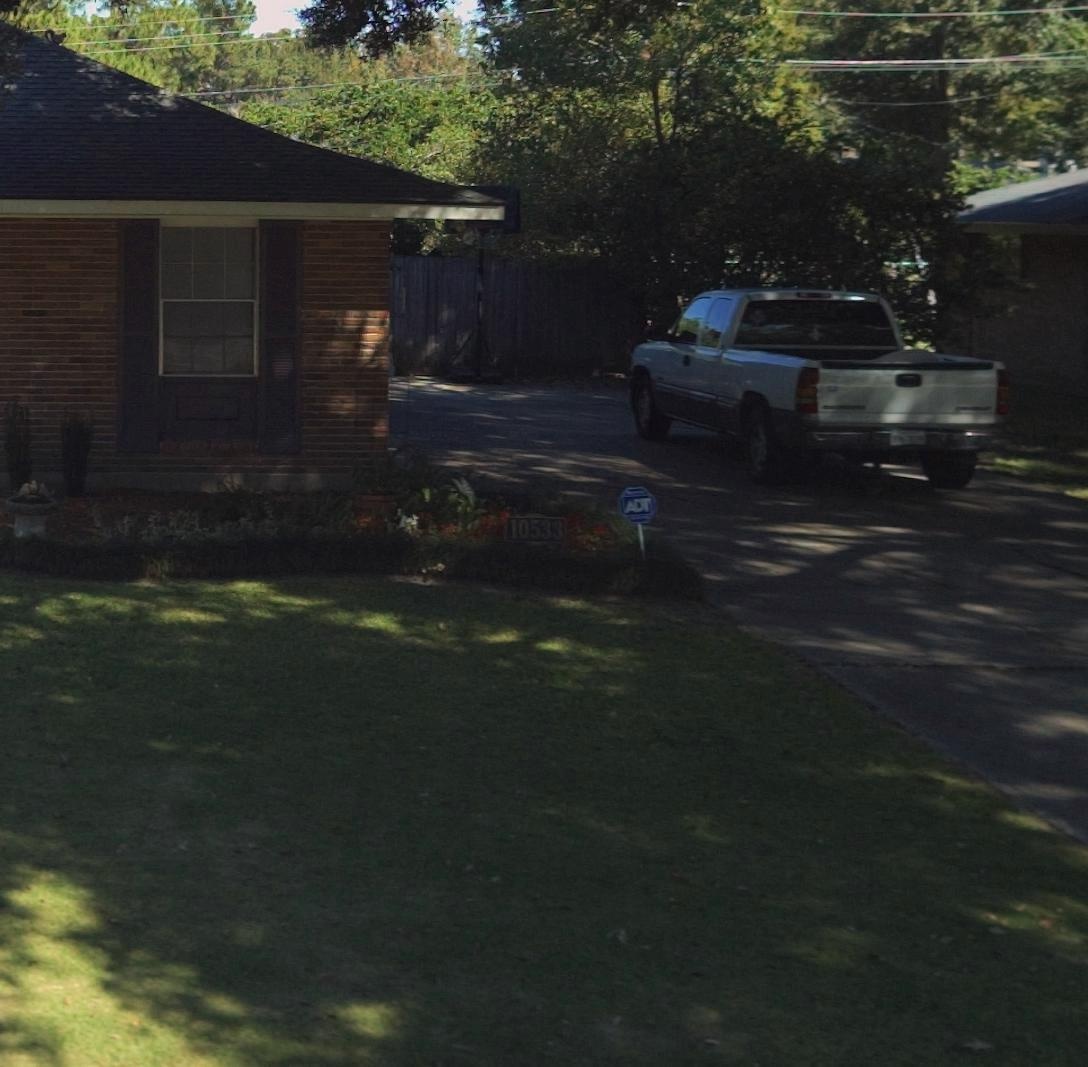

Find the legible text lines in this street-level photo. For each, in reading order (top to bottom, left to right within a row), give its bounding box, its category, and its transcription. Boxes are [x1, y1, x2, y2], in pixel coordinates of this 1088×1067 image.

[623, 496, 653, 516] None: ADT
[508, 517, 566, 542] StreetNumber: 10533